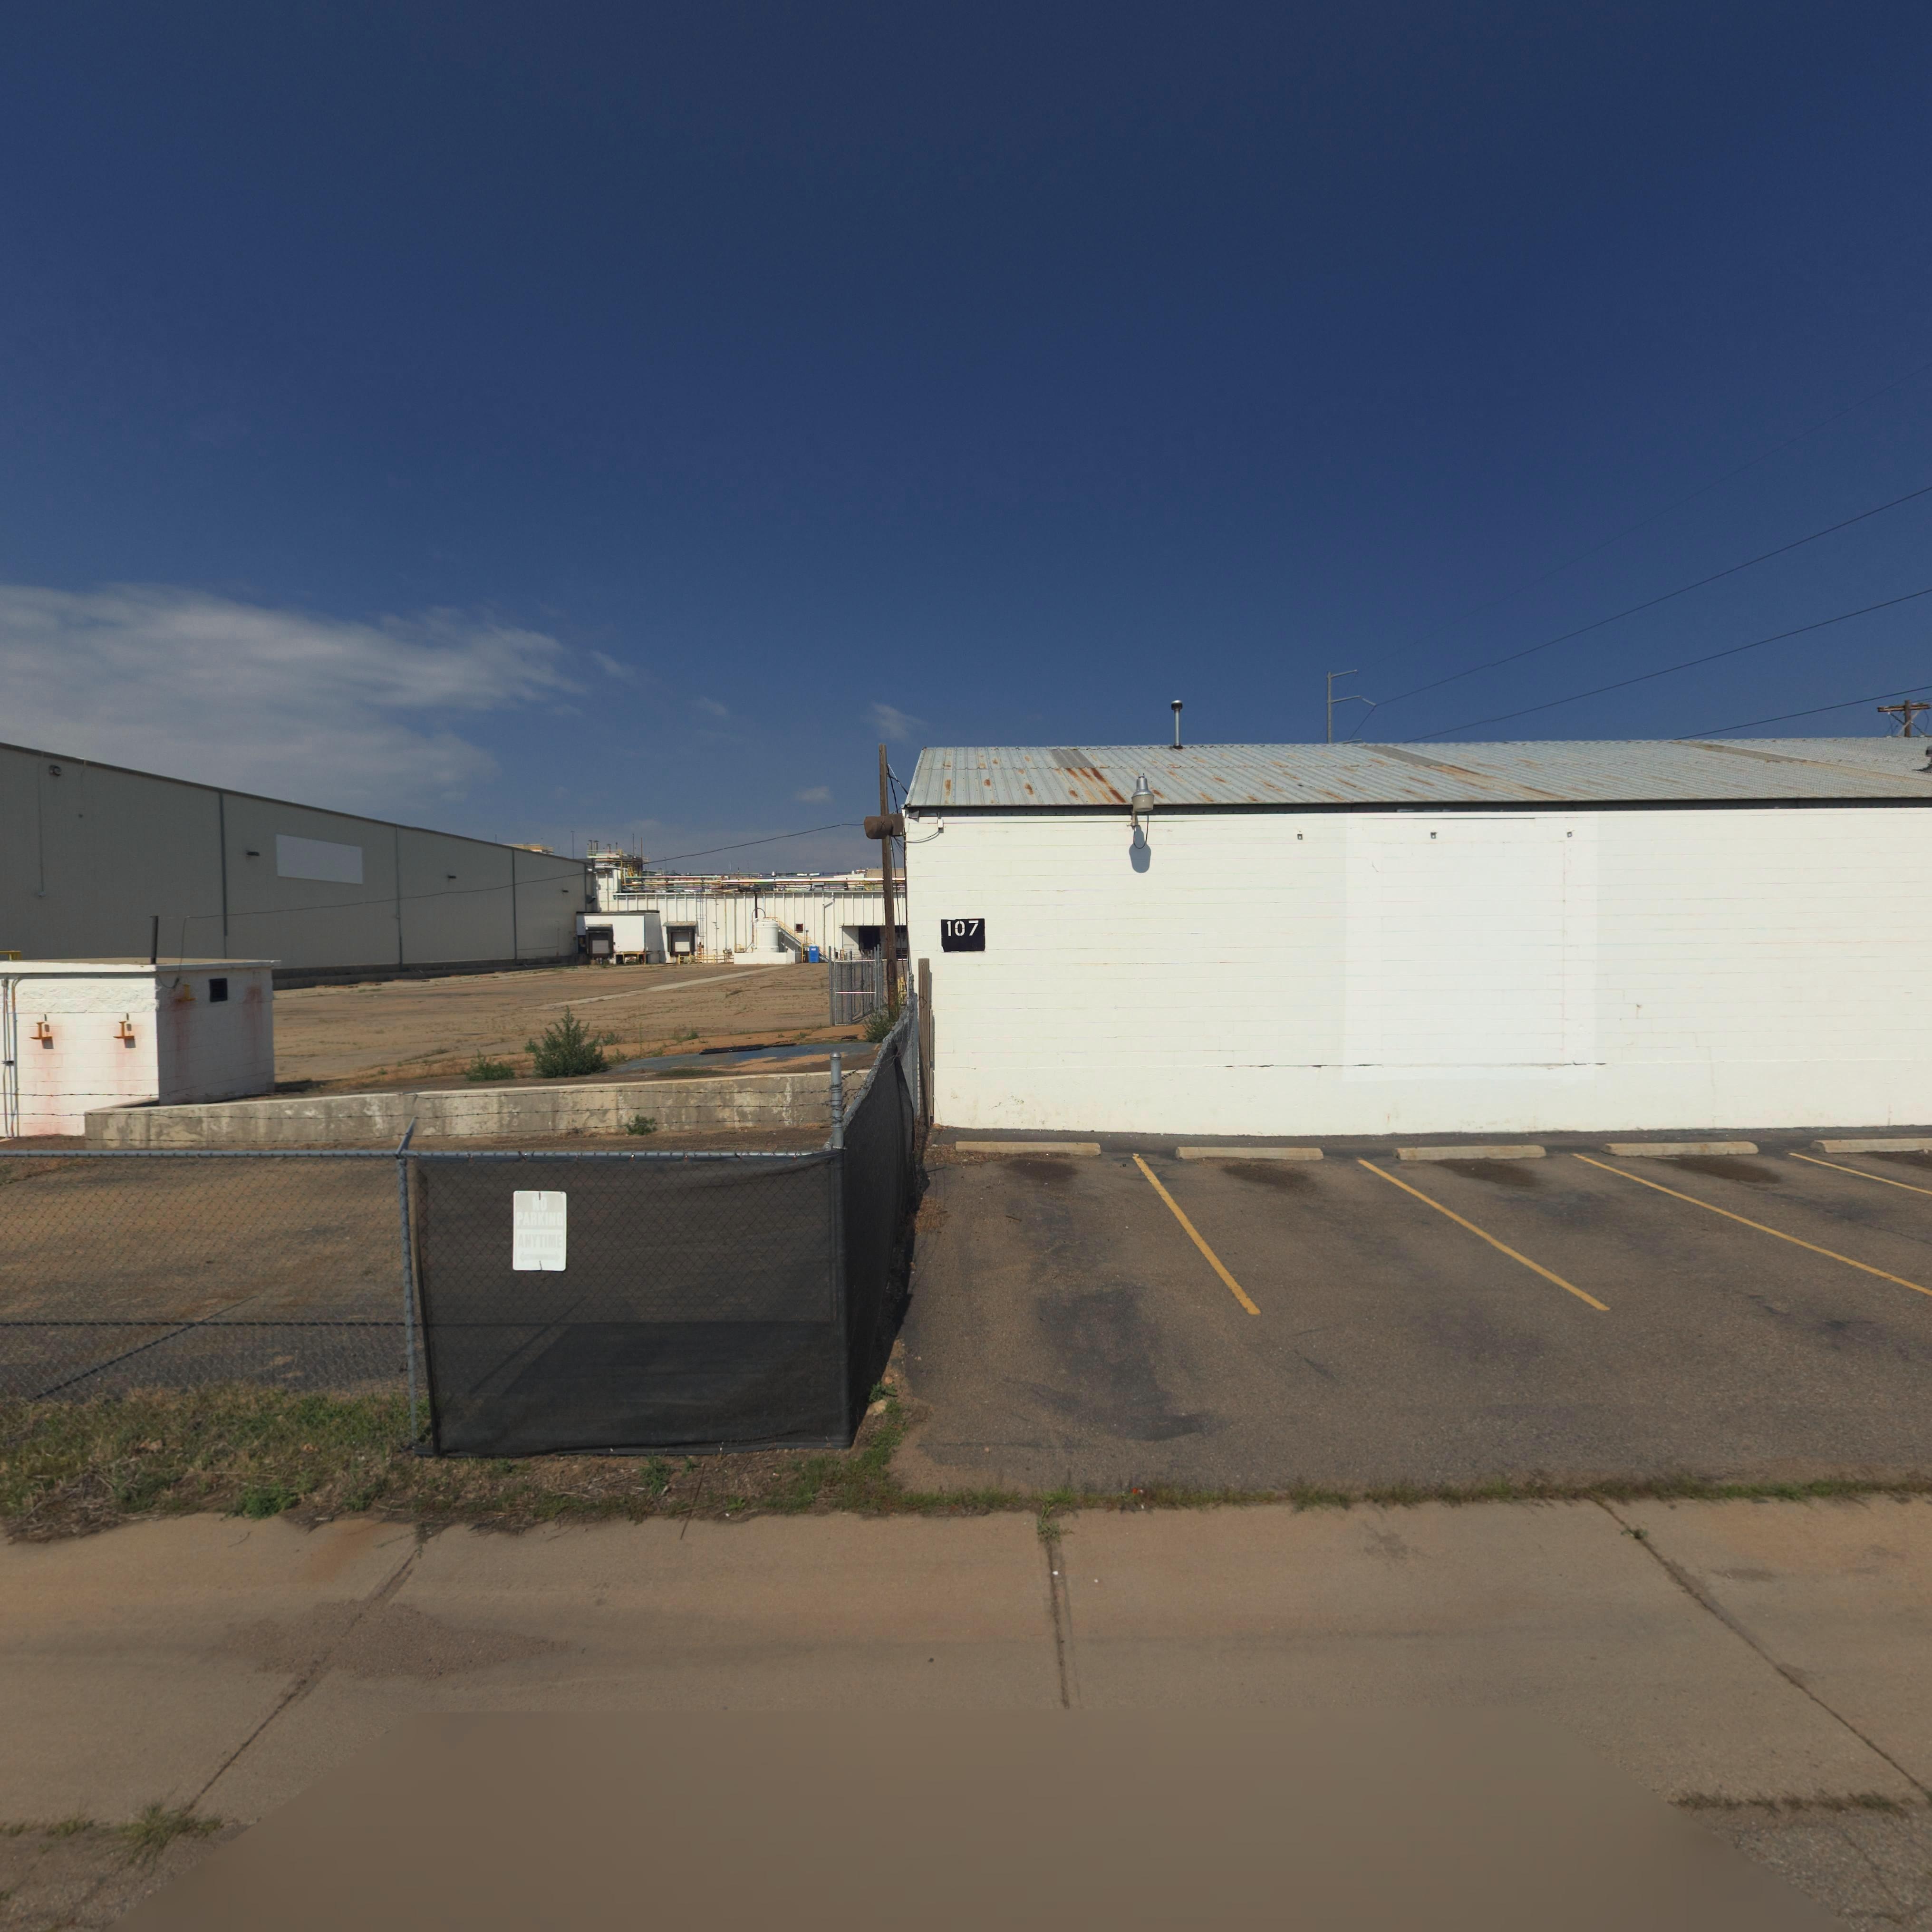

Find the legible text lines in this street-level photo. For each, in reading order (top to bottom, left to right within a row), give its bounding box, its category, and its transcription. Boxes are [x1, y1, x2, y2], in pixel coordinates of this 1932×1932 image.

[946, 919, 979, 937] StreetNumber: 107